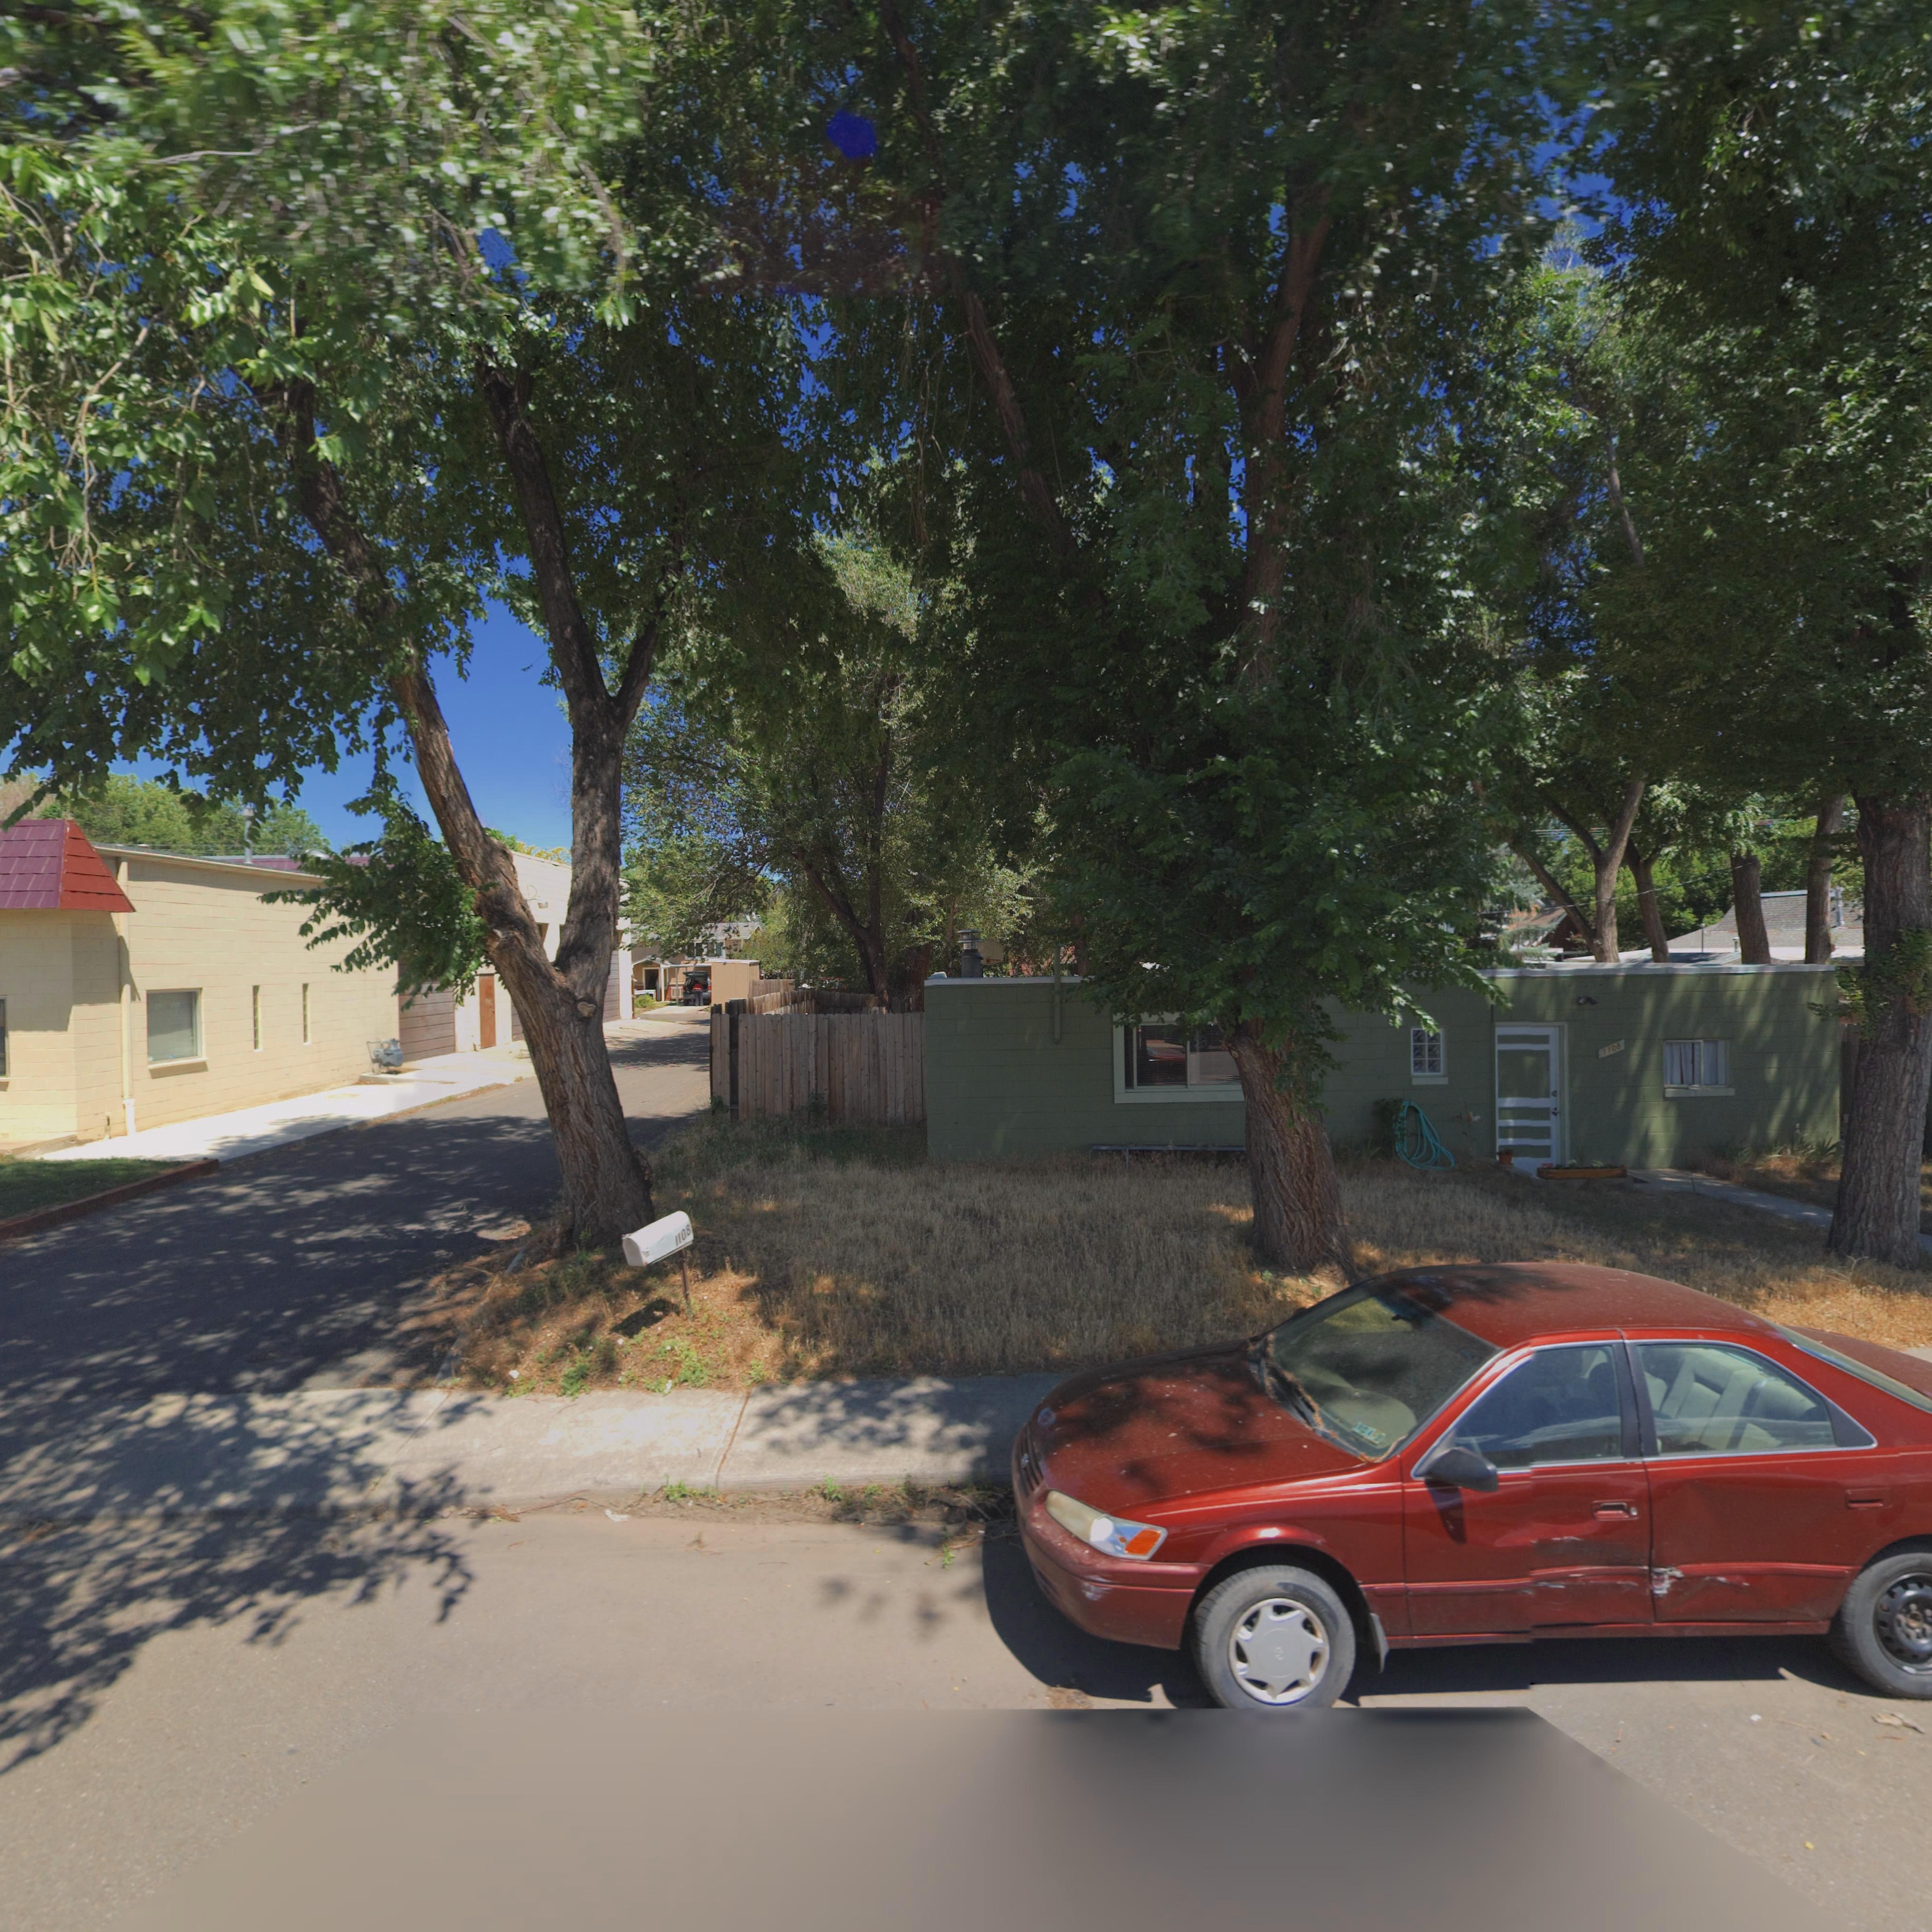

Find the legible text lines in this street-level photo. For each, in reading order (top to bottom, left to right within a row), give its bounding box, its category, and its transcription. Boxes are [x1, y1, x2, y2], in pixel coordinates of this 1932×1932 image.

[1602, 1042, 1621, 1056] StreetNumber: 1108
[674, 1223, 691, 1247] StreetNumber: 1108